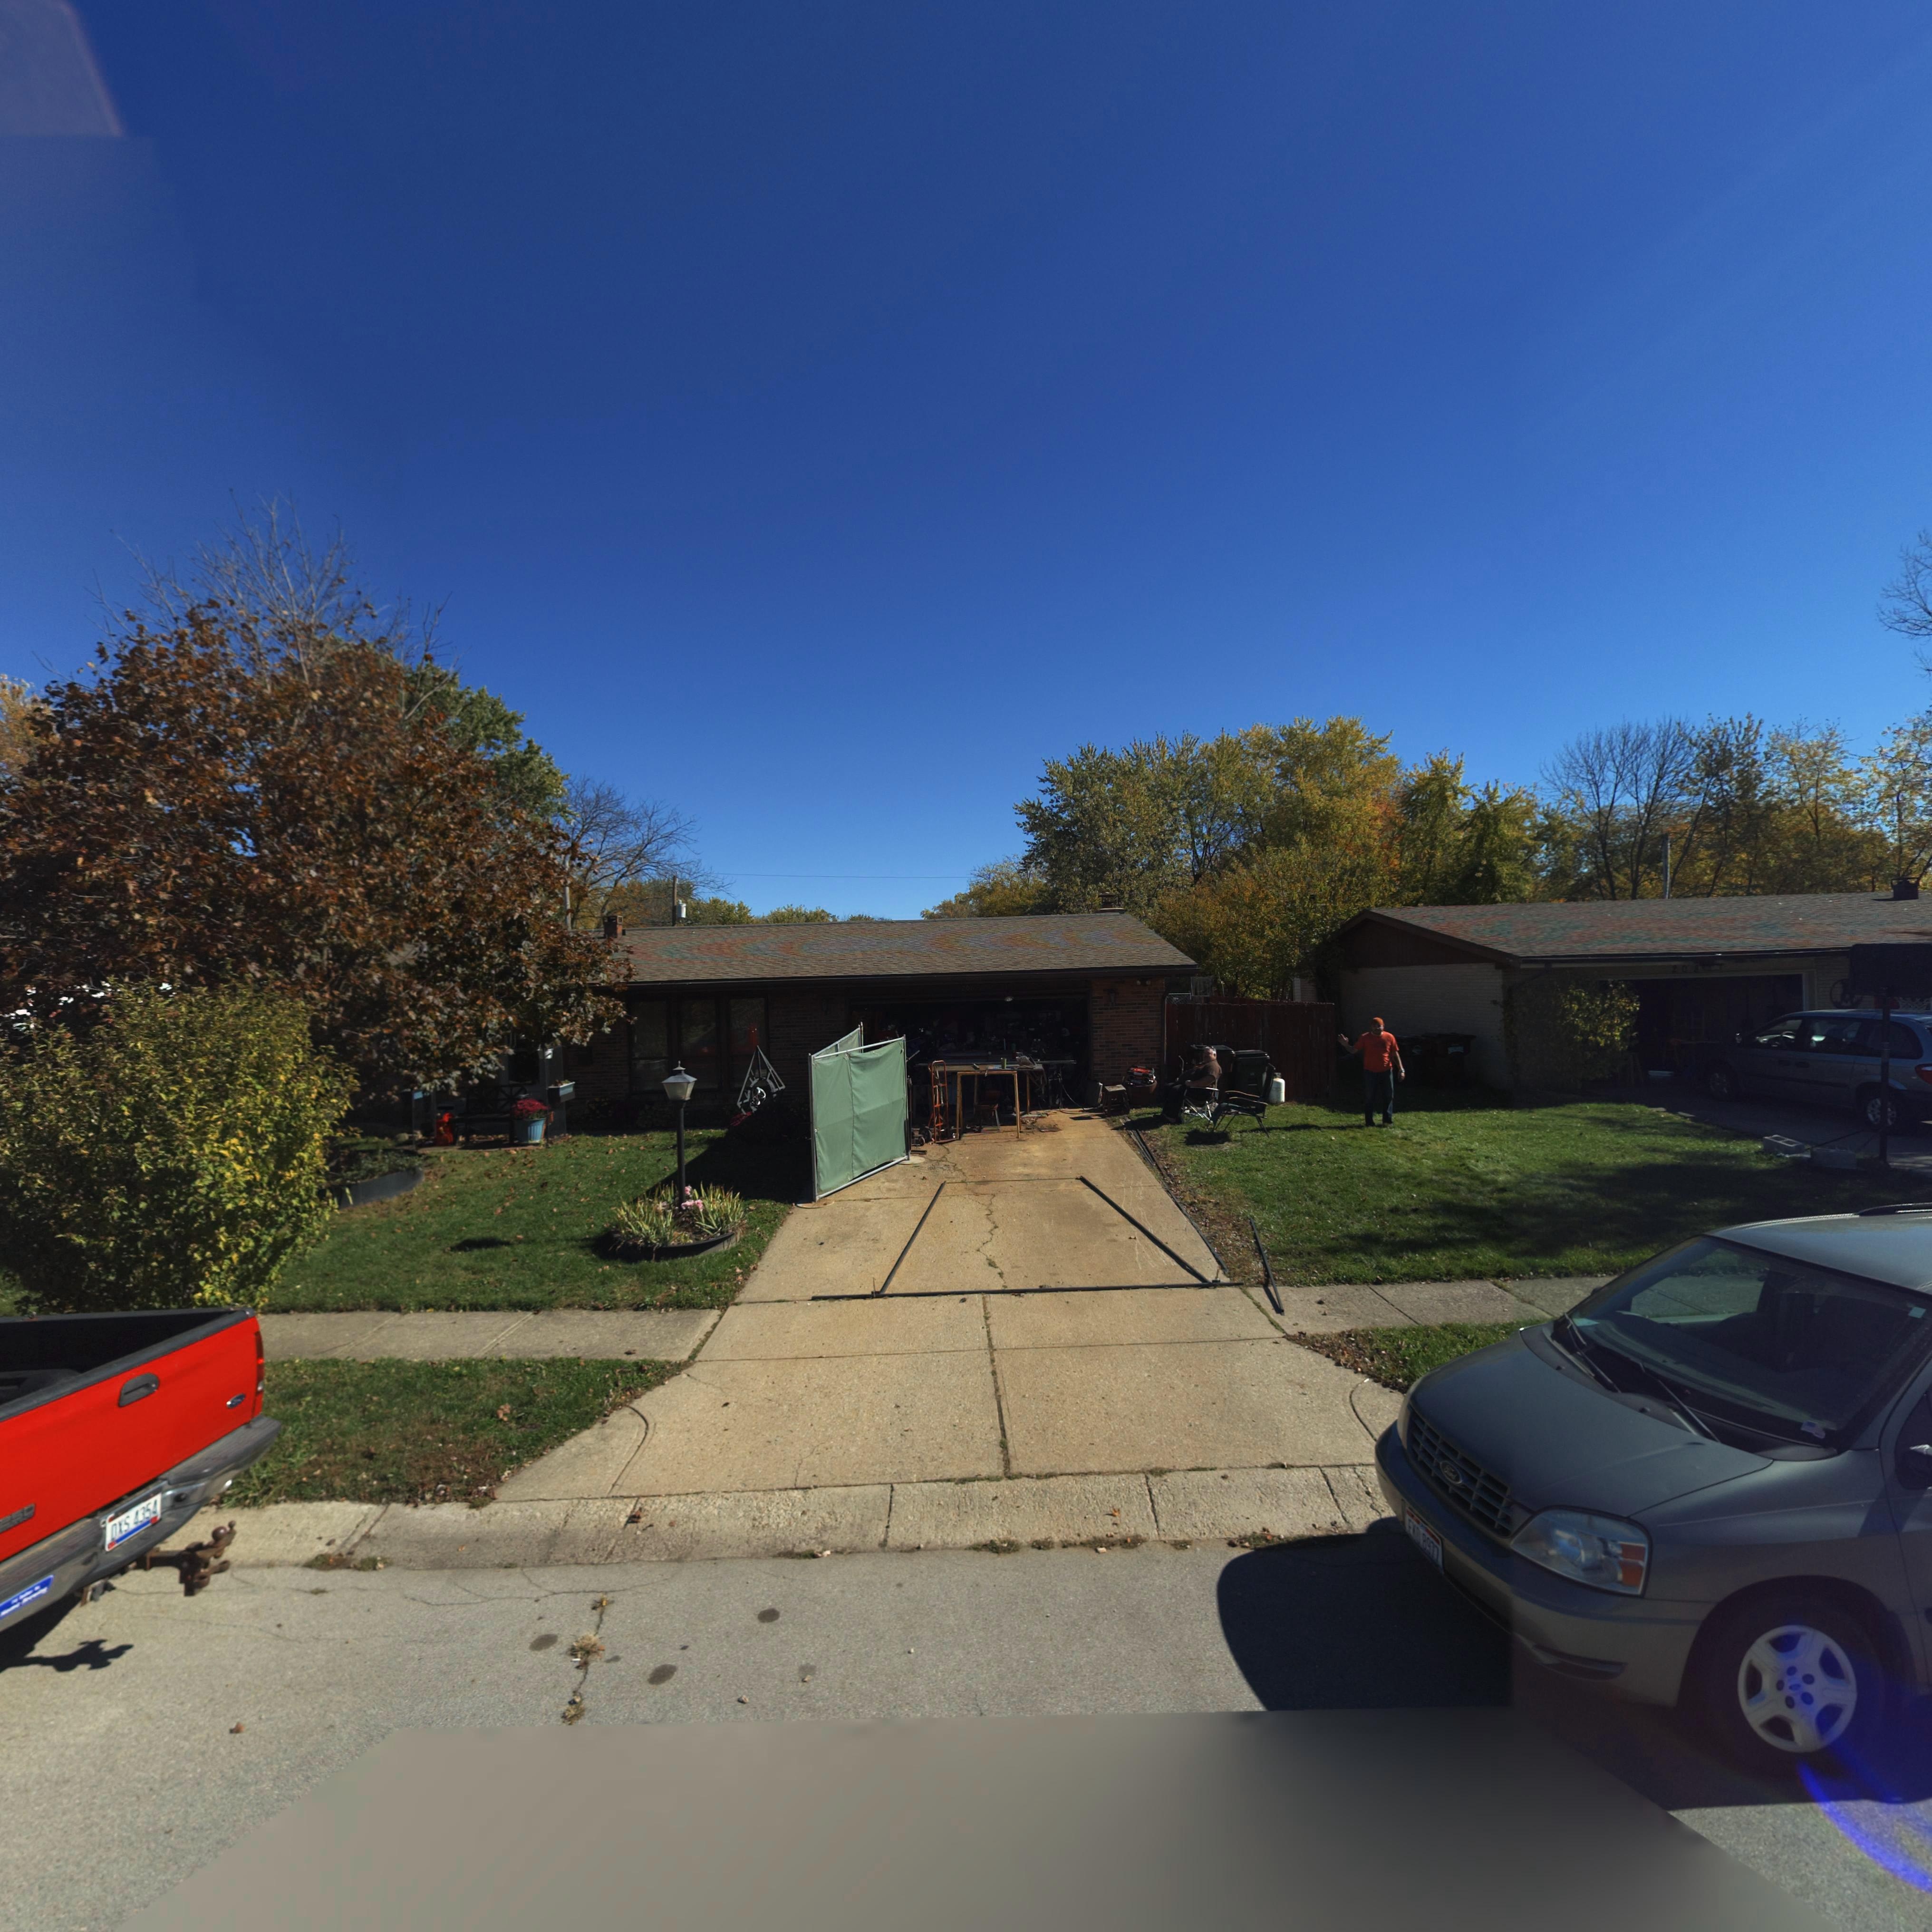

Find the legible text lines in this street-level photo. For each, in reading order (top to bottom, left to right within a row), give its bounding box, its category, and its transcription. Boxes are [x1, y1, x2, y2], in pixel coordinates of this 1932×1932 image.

[1671, 964, 1700, 974] StreetNumber: 208
[961, 984, 975, 991] StreetNumber: 206
[0, 1501, 36, 1531] None: 250